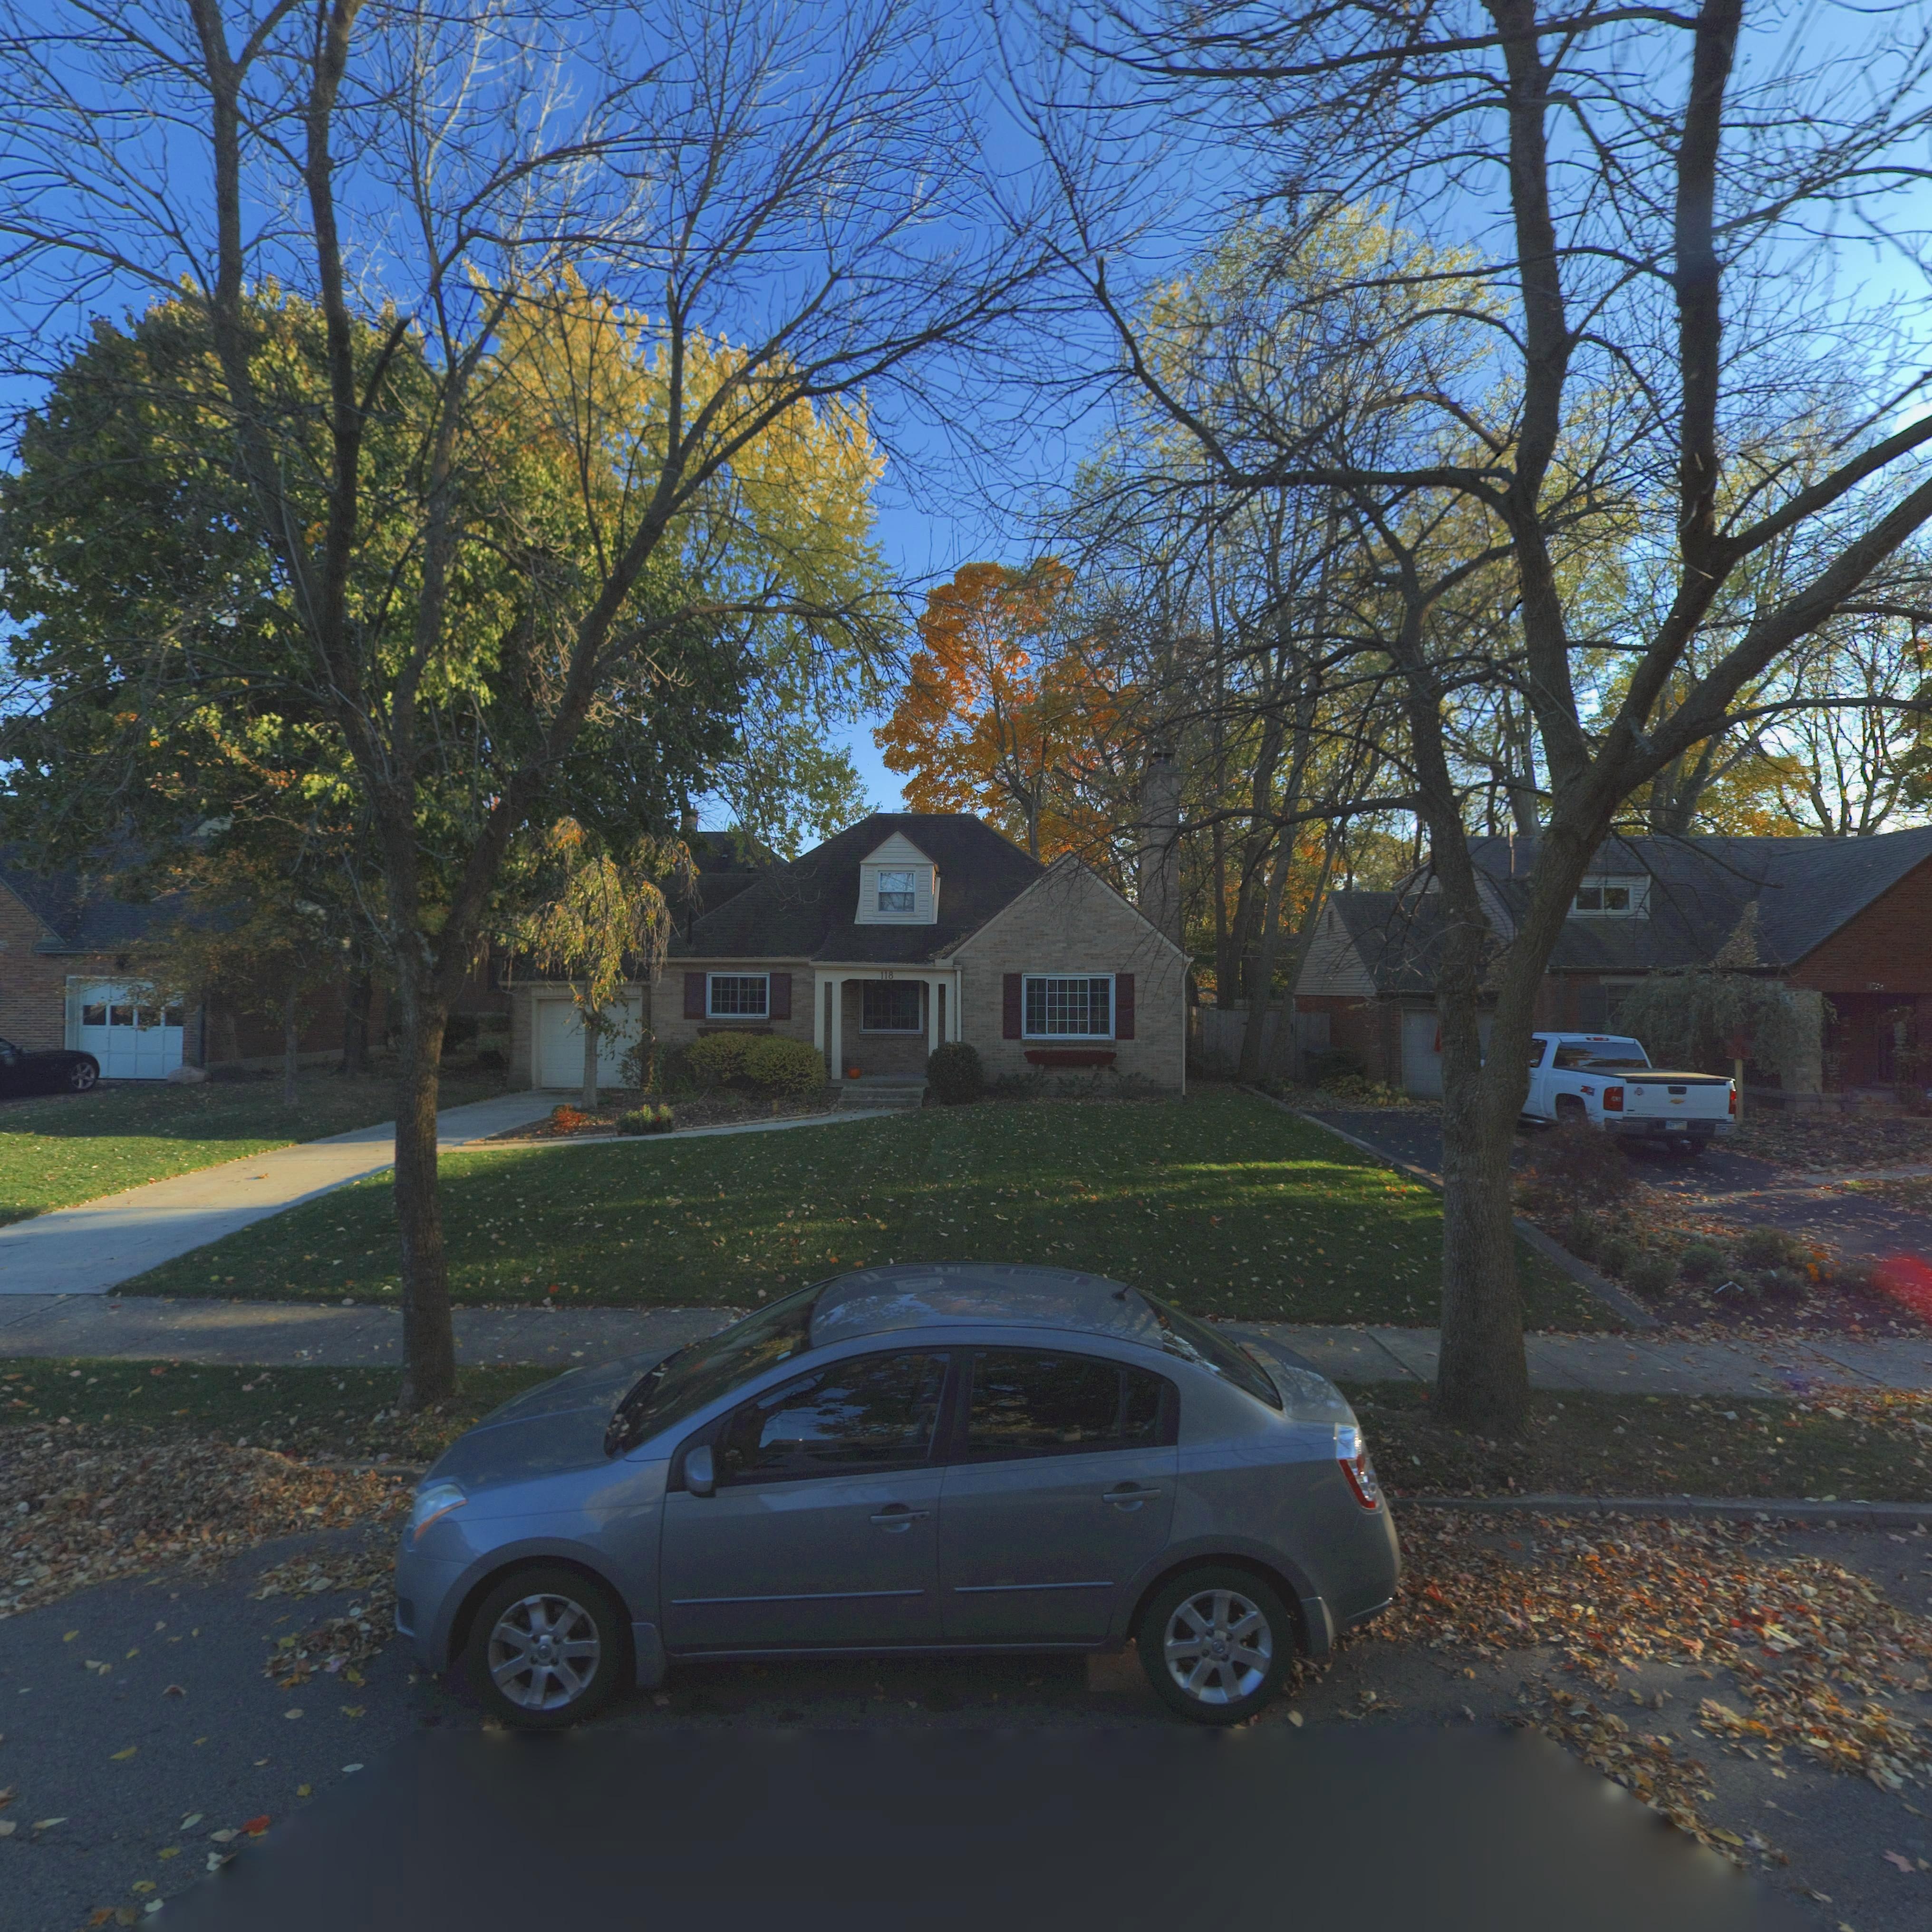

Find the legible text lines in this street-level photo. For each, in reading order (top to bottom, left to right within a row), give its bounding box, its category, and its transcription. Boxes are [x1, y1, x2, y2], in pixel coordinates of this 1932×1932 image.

[880, 970, 894, 980] StreetNumber: 118